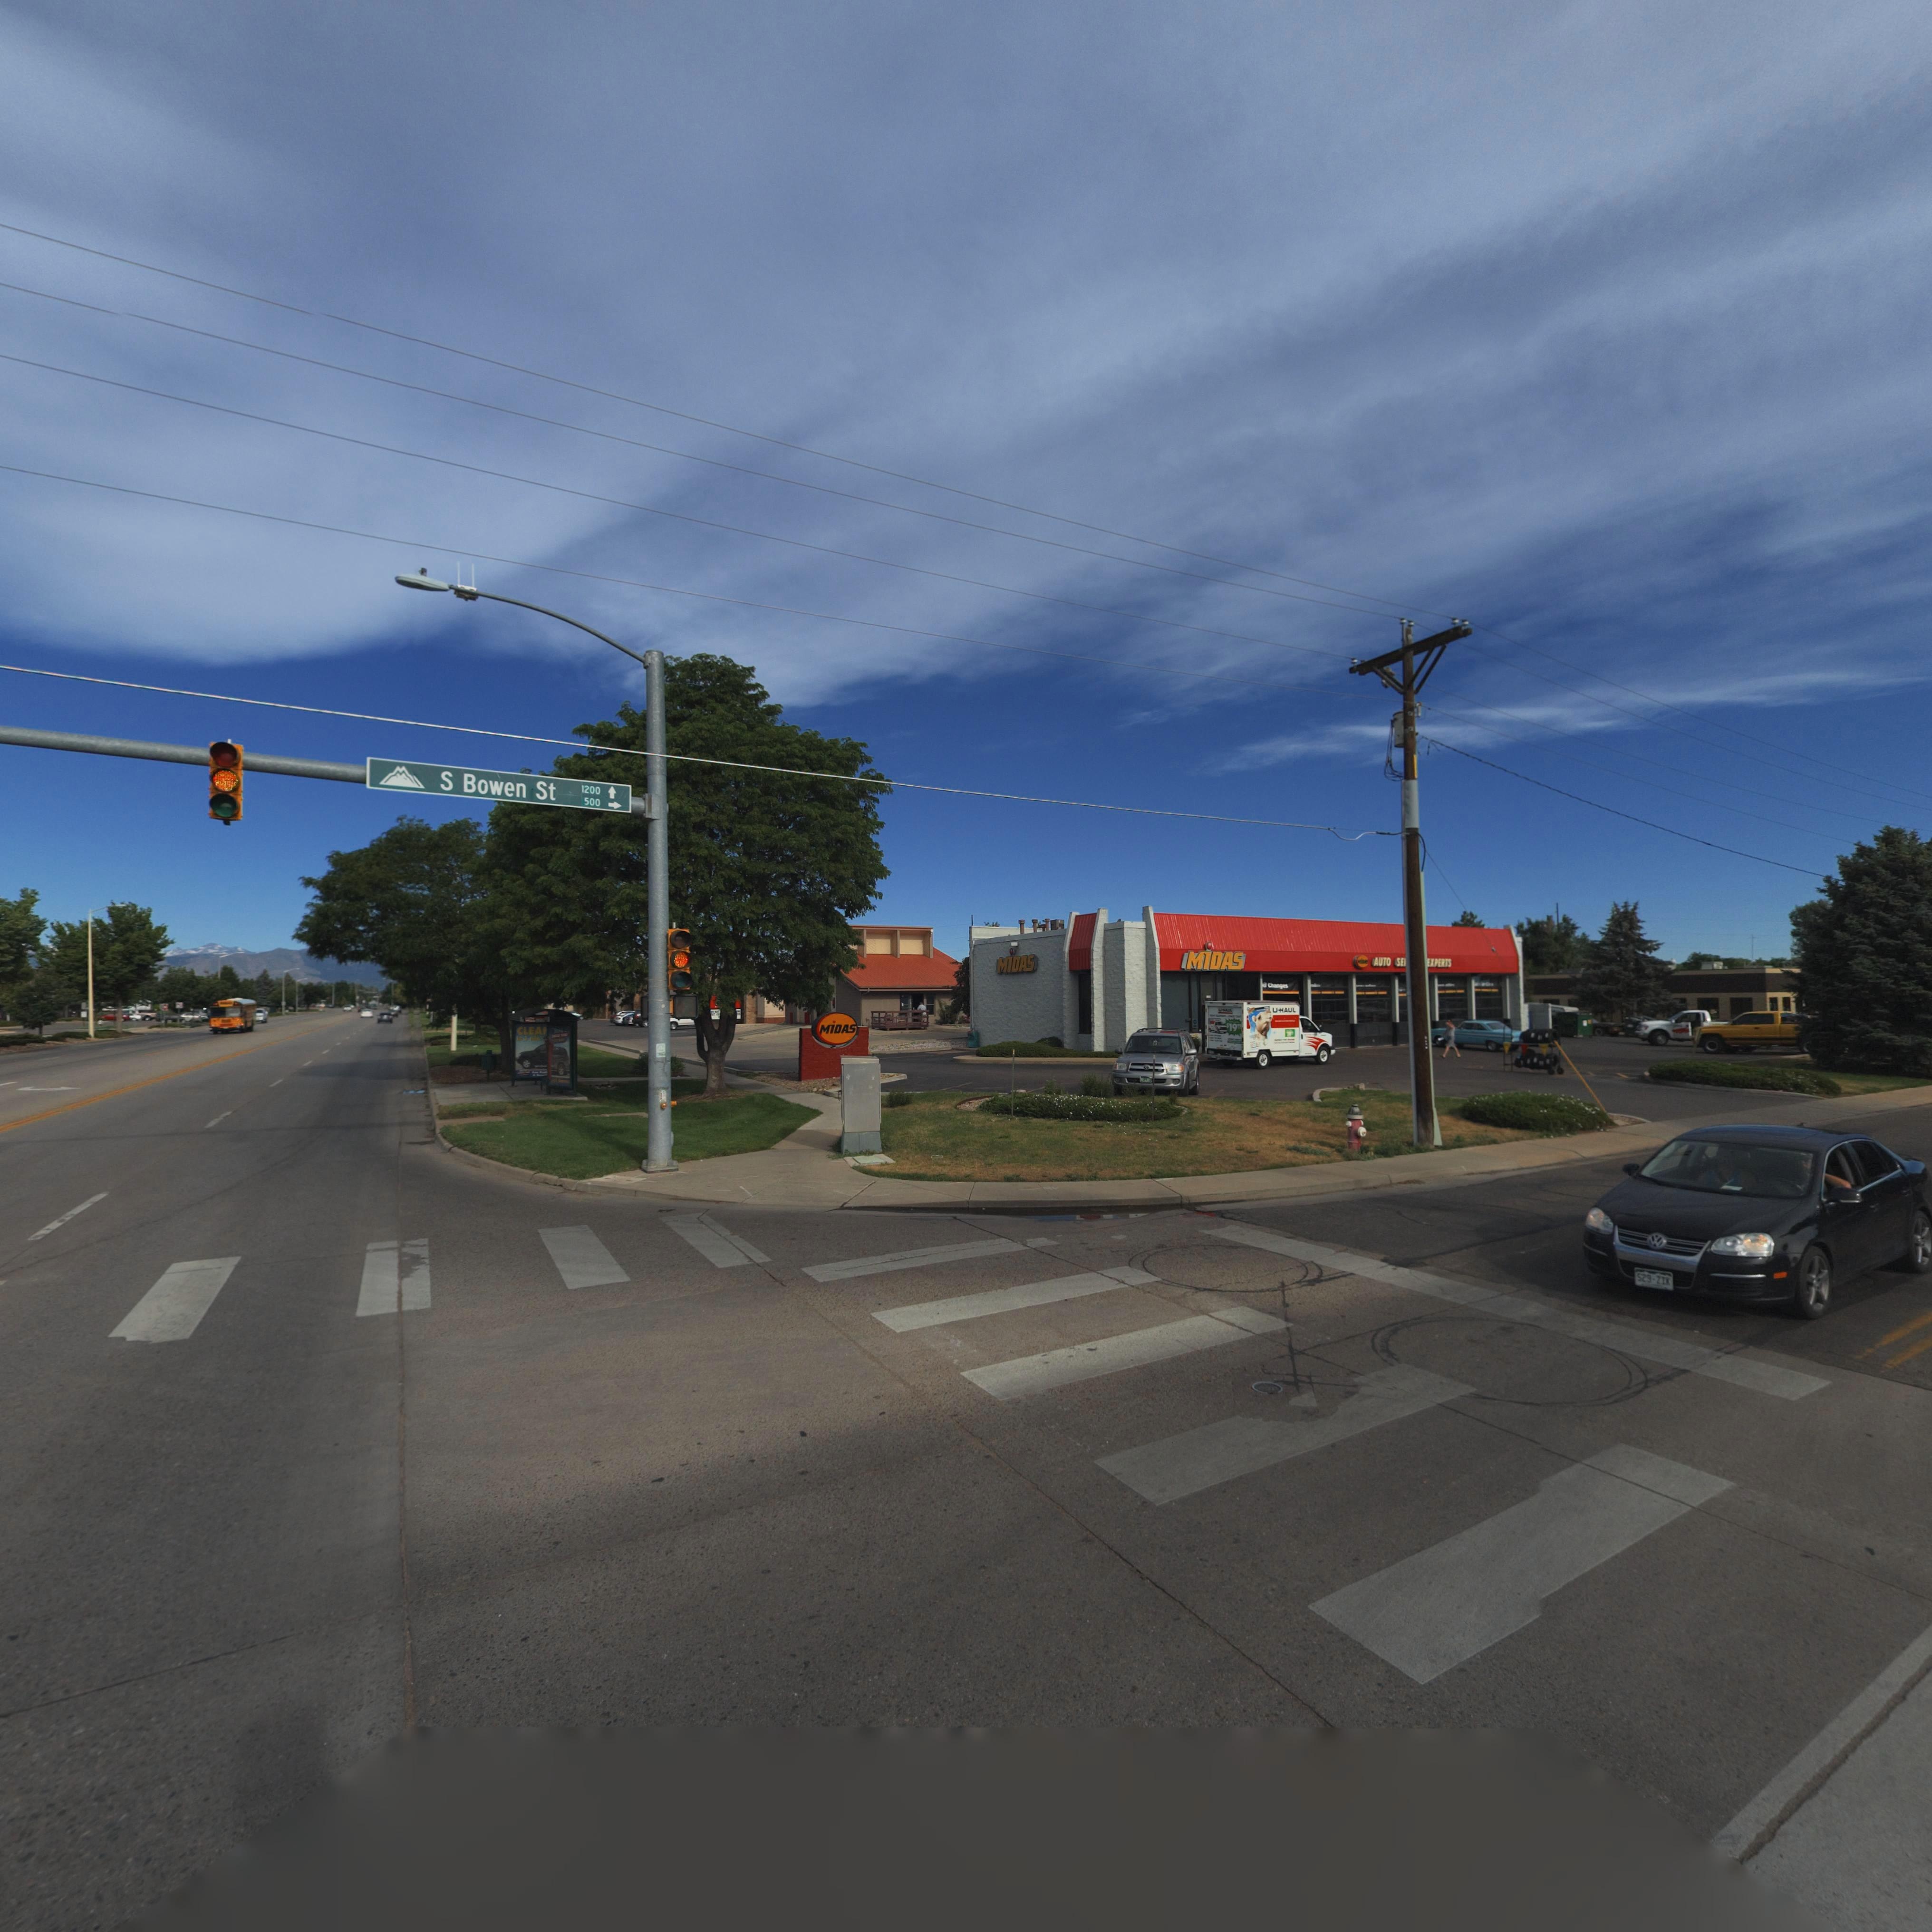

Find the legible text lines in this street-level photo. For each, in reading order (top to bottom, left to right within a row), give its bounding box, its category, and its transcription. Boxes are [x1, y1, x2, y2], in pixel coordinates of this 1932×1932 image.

[439, 769, 557, 801] StreetName: S Bowen St
[581, 784, 600, 795] StreetNumberRange: 1200
[583, 796, 623, 810] StreetNumberRange: 500->
[996, 947, 1034, 973] BusinessName: MiDAS
[1186, 941, 1244, 970] BusinessName: MiDAS
[1356, 956, 1369, 964] BusinessName: Mi**S
[819, 1019, 857, 1034] BusinessName: MiDAS